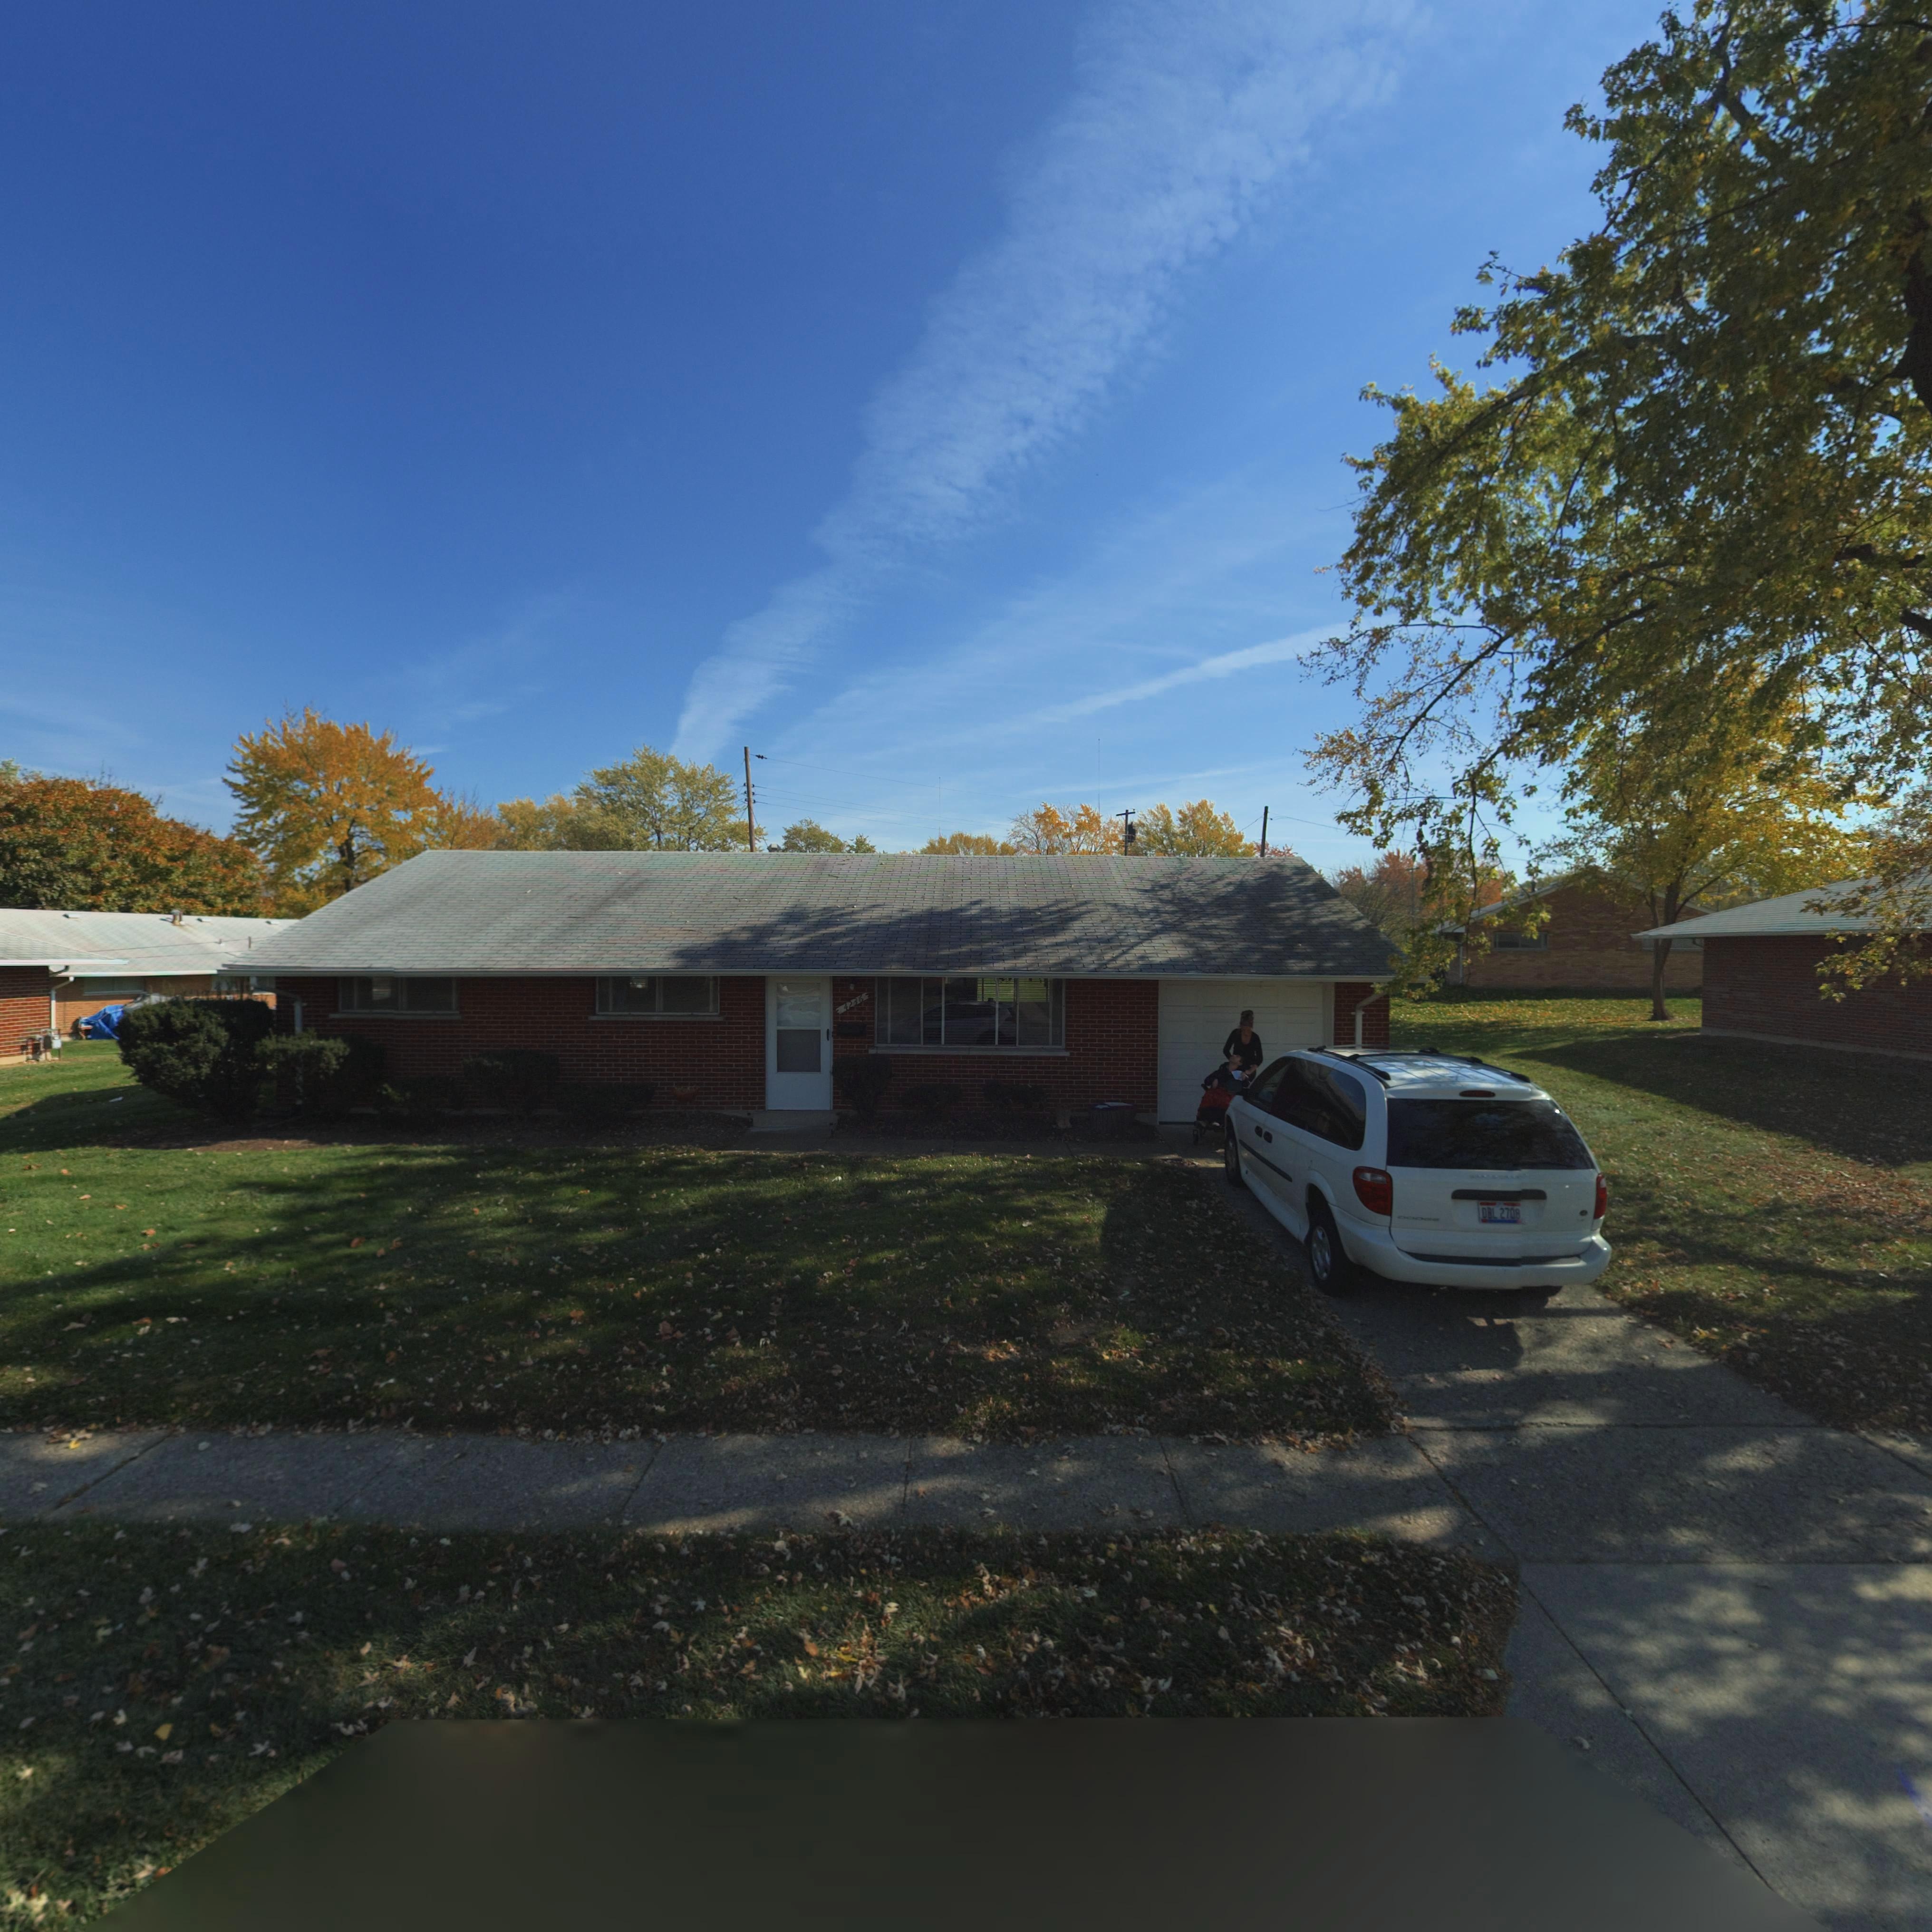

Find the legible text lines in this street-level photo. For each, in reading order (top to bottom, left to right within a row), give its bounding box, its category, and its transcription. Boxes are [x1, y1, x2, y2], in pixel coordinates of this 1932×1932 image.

[844, 993, 863, 1011] StreetNumber: 4236
[1396, 1214, 1440, 1222] None: DODGE
[1482, 1207, 1521, 1220] None: DBL*2708